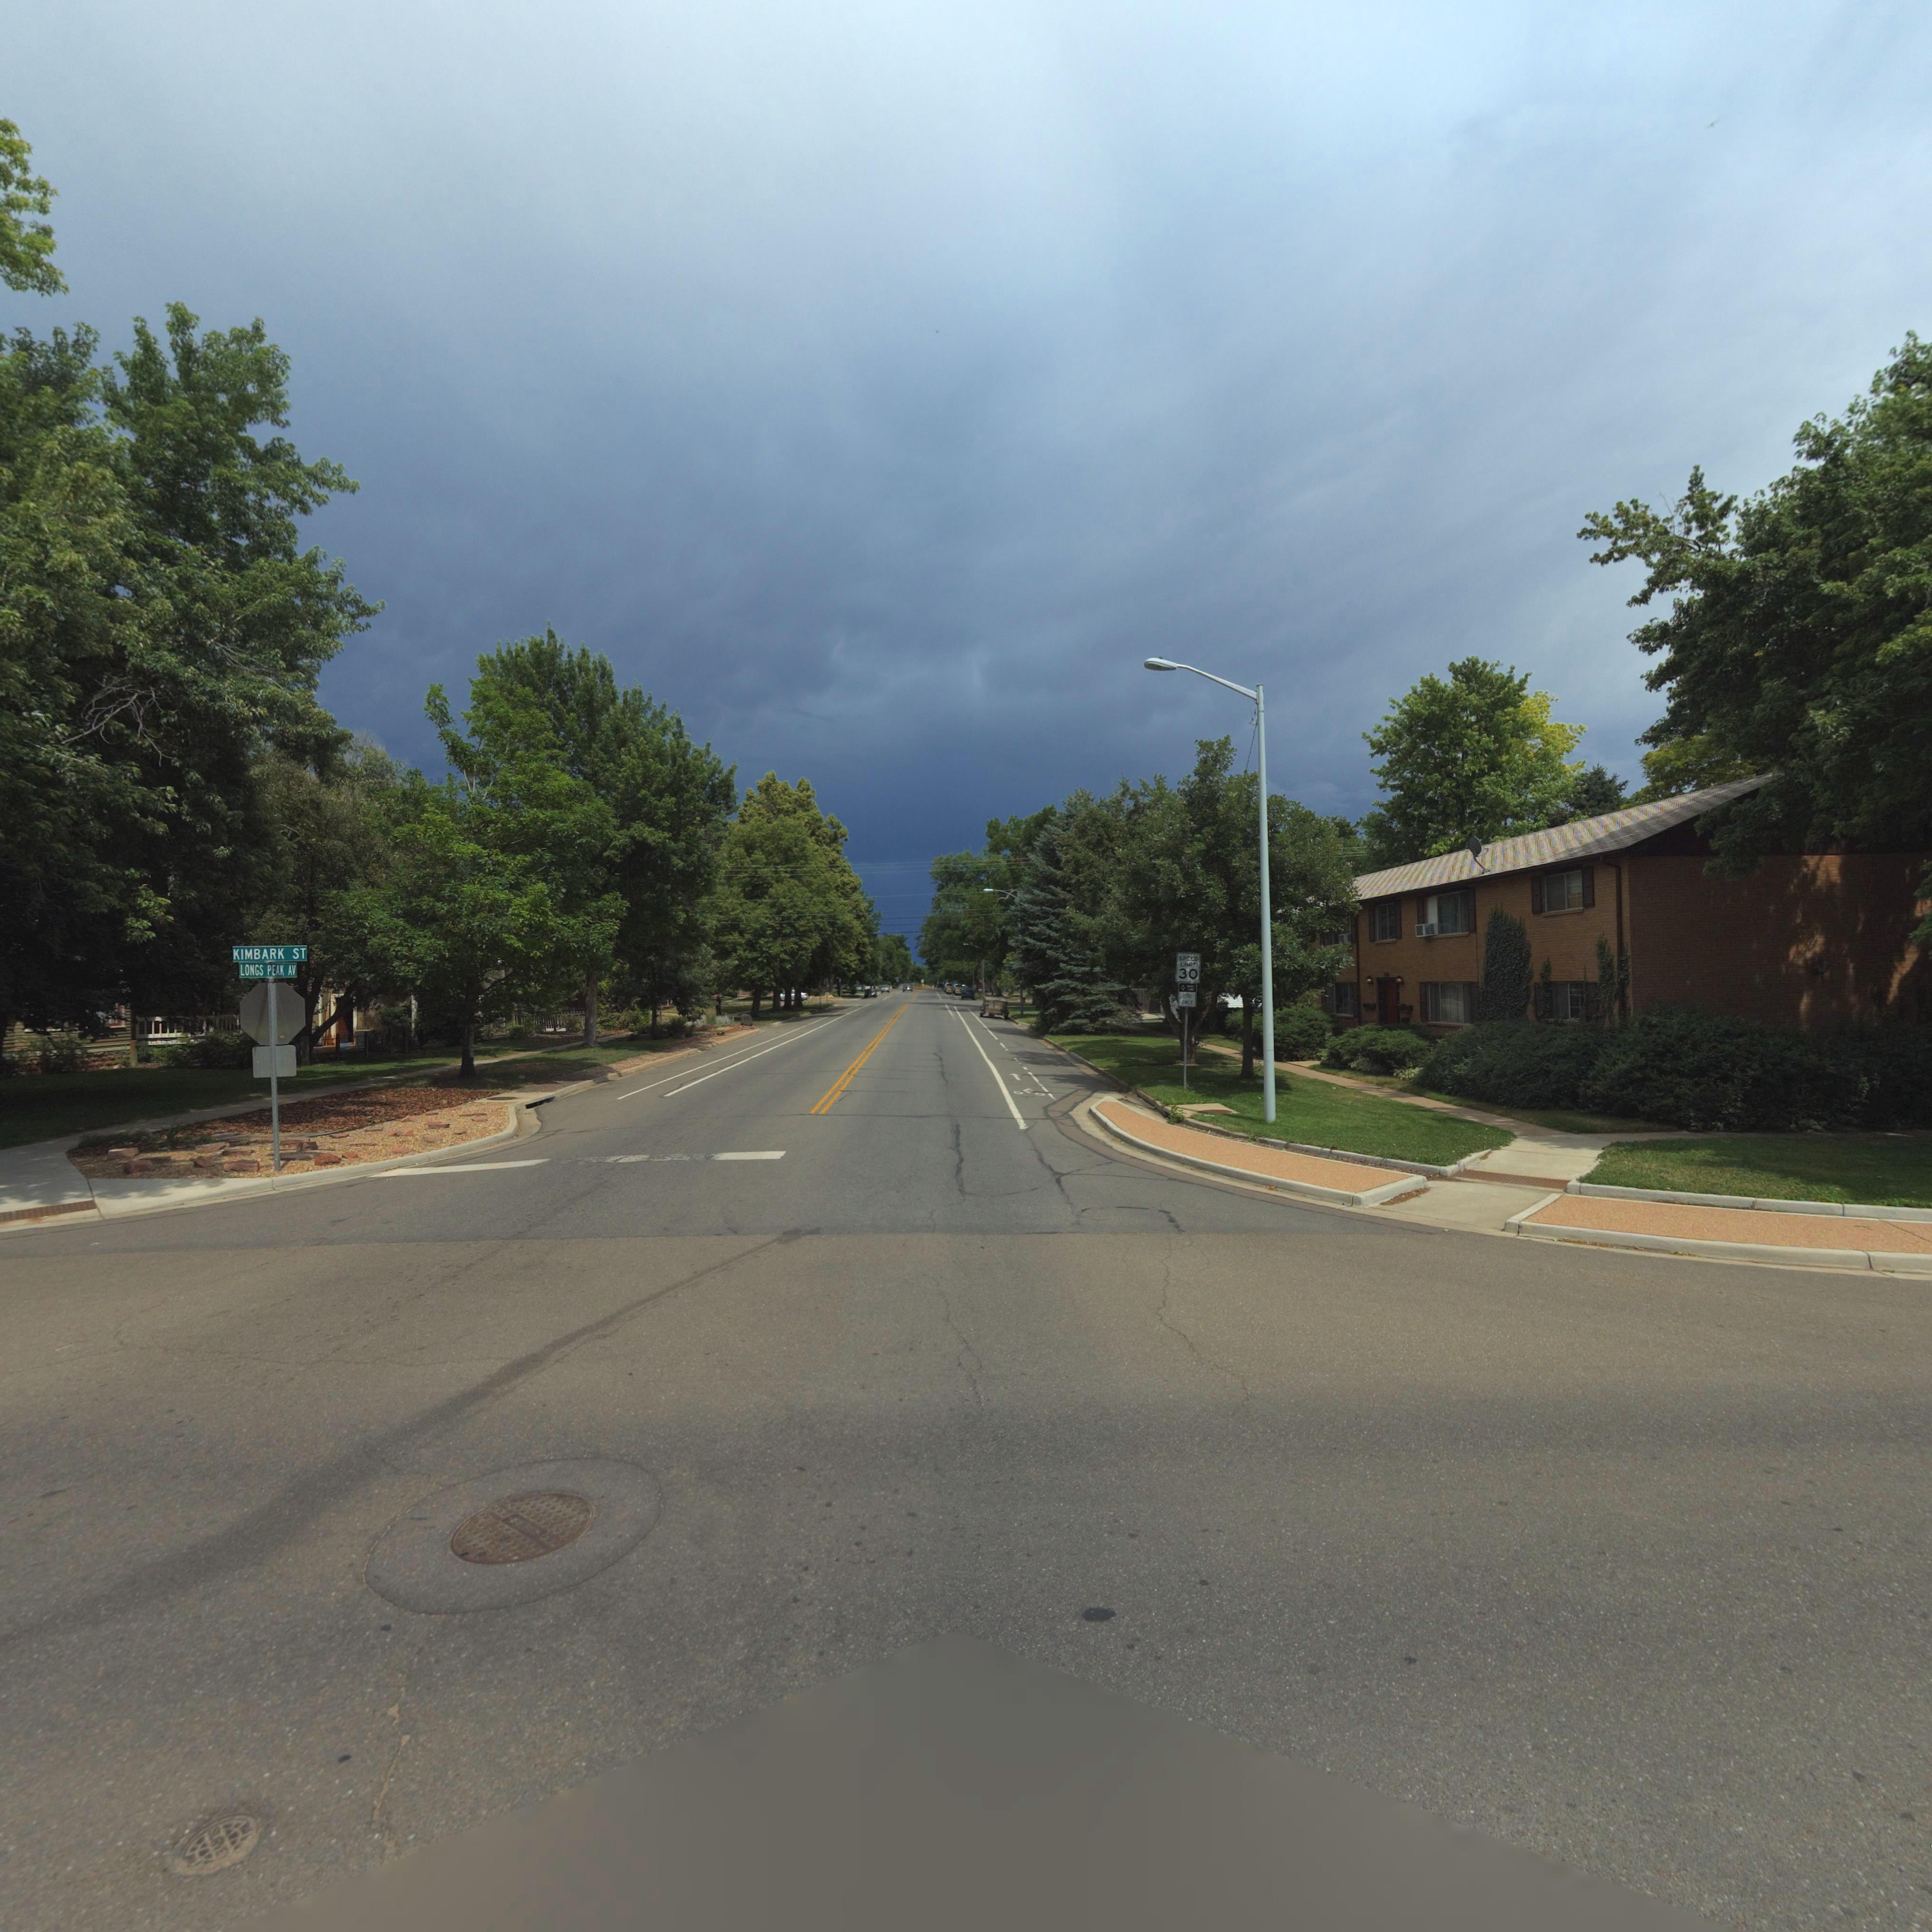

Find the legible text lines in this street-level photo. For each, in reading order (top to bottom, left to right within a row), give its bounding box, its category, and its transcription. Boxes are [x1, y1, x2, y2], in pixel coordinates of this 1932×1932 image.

[232, 947, 307, 960] StreetName: KIMBARK ST
[240, 964, 296, 976] StreetName: LONGS PEAK AV